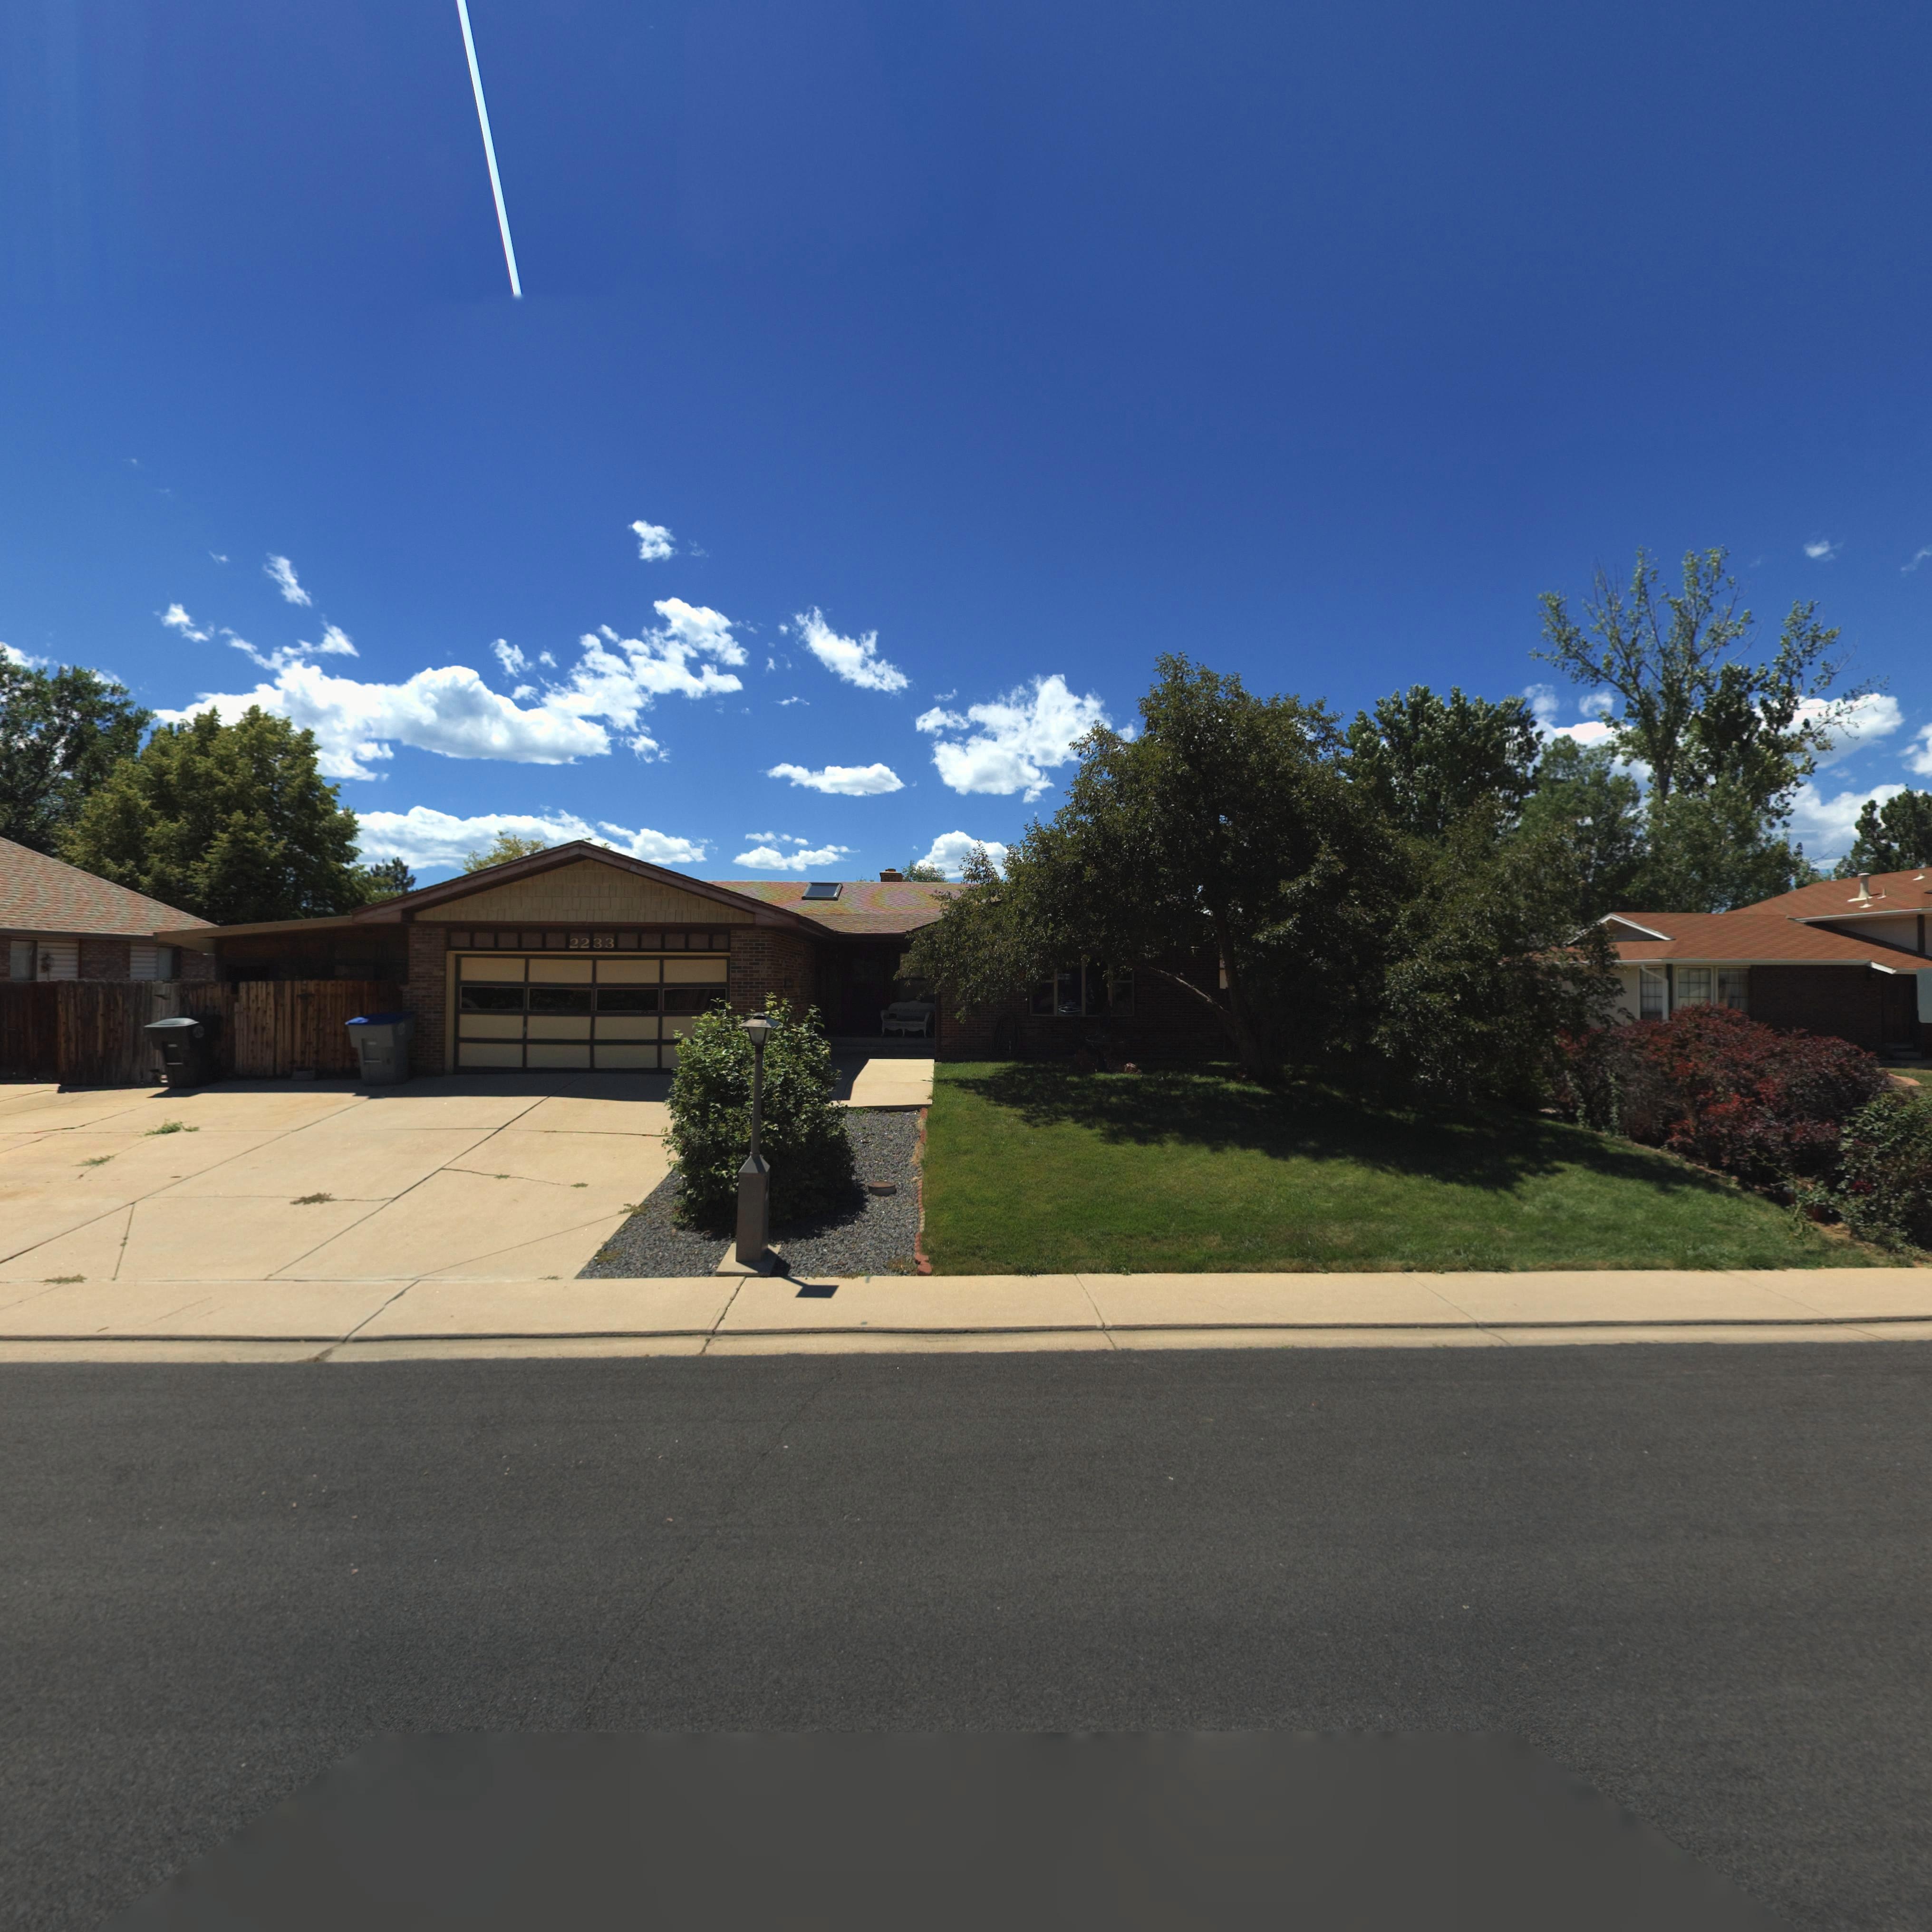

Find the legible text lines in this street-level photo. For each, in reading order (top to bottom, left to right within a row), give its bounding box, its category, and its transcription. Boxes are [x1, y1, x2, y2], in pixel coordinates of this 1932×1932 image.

[569, 937, 614, 948] StreetNumber: 2233